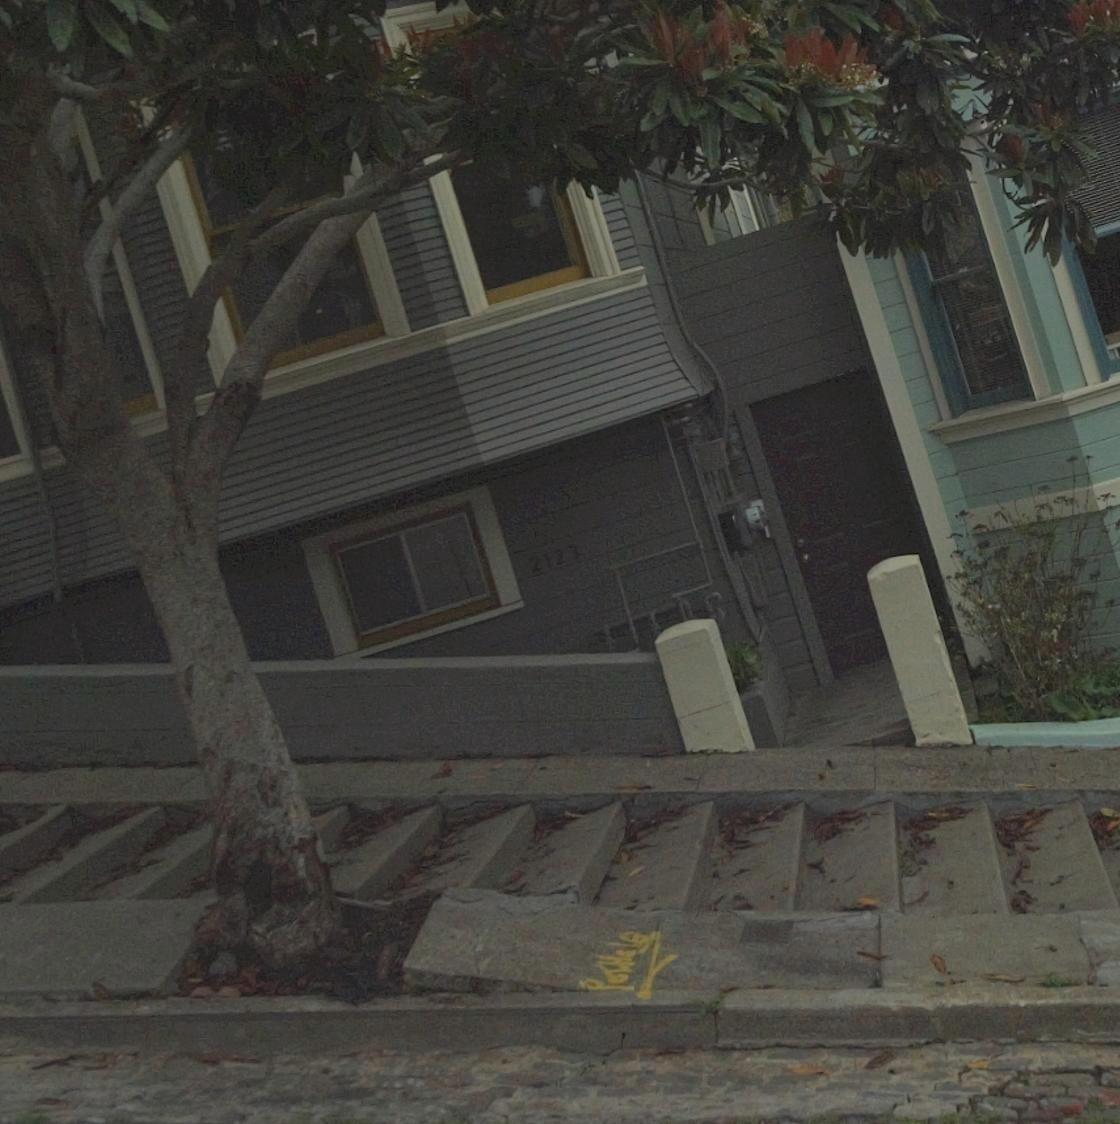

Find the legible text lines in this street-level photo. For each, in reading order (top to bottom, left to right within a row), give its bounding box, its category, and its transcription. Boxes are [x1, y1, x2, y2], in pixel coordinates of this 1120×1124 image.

[526, 540, 581, 576] StreetNumber: 2123